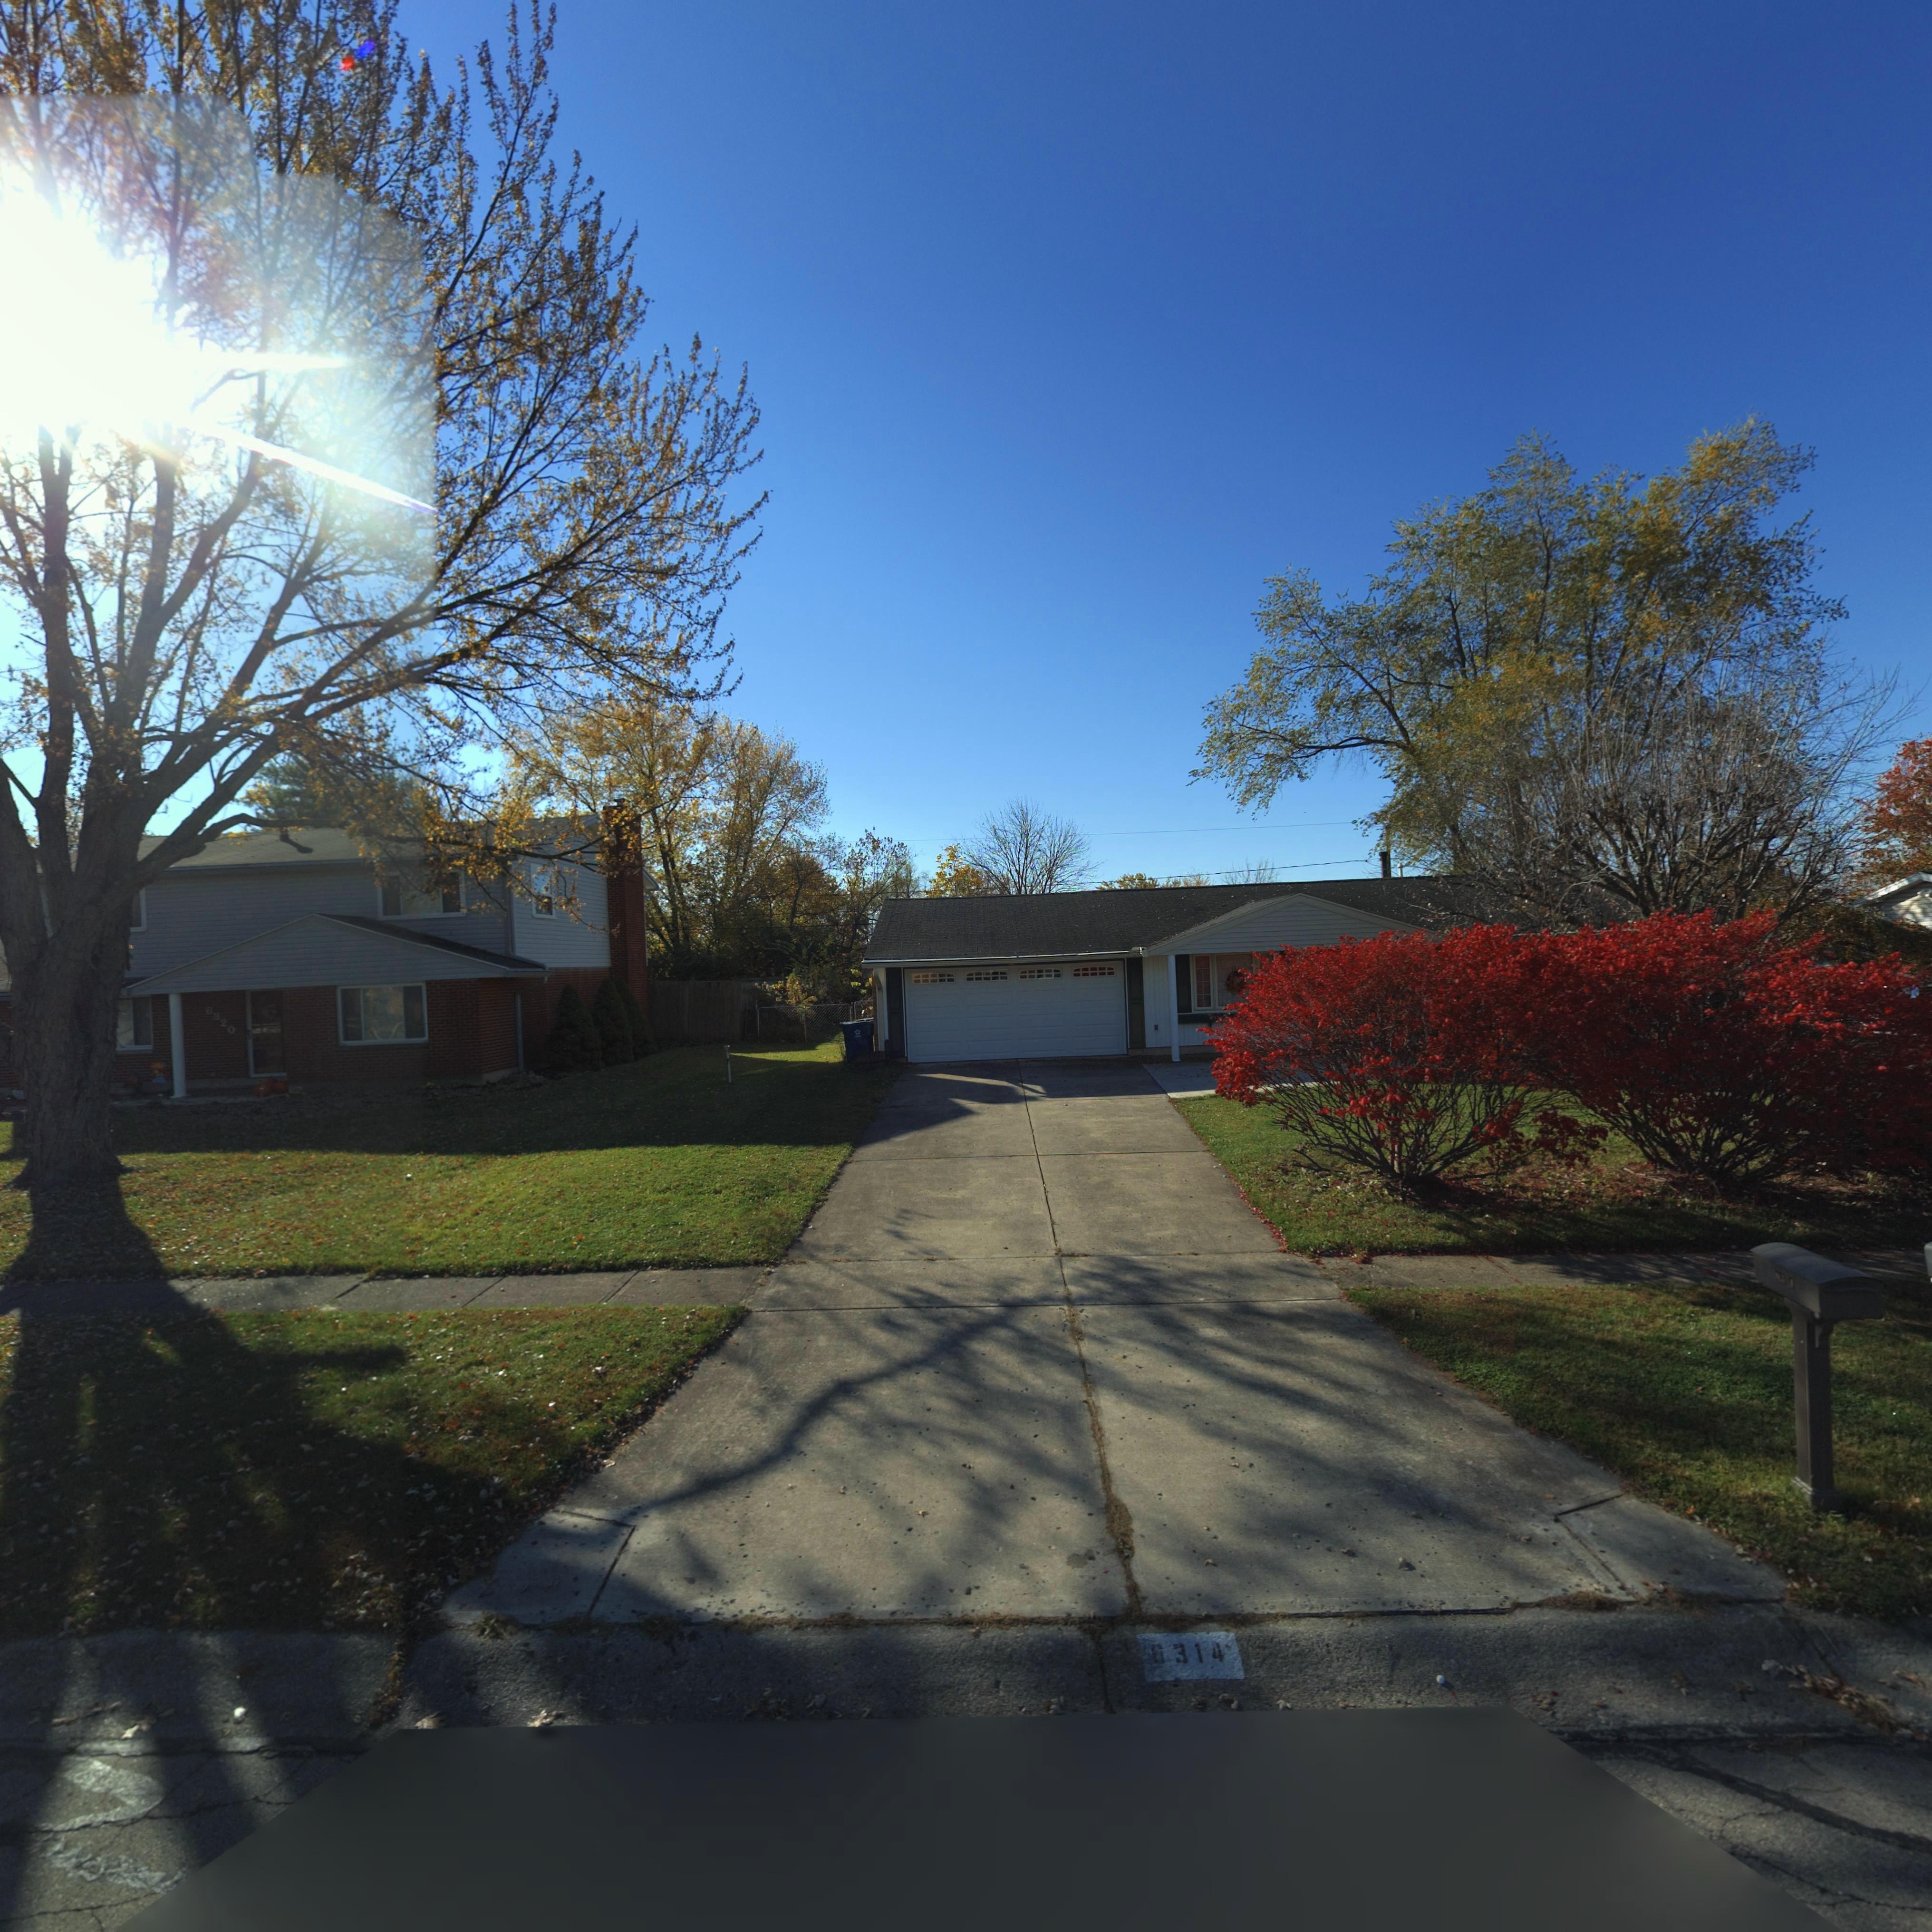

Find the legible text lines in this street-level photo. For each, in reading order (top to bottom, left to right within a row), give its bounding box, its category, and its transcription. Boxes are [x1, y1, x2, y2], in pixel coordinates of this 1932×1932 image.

[204, 1005, 238, 1036] StreetNumber: 6320
[1148, 1640, 1227, 1667] StreetNumber: *314